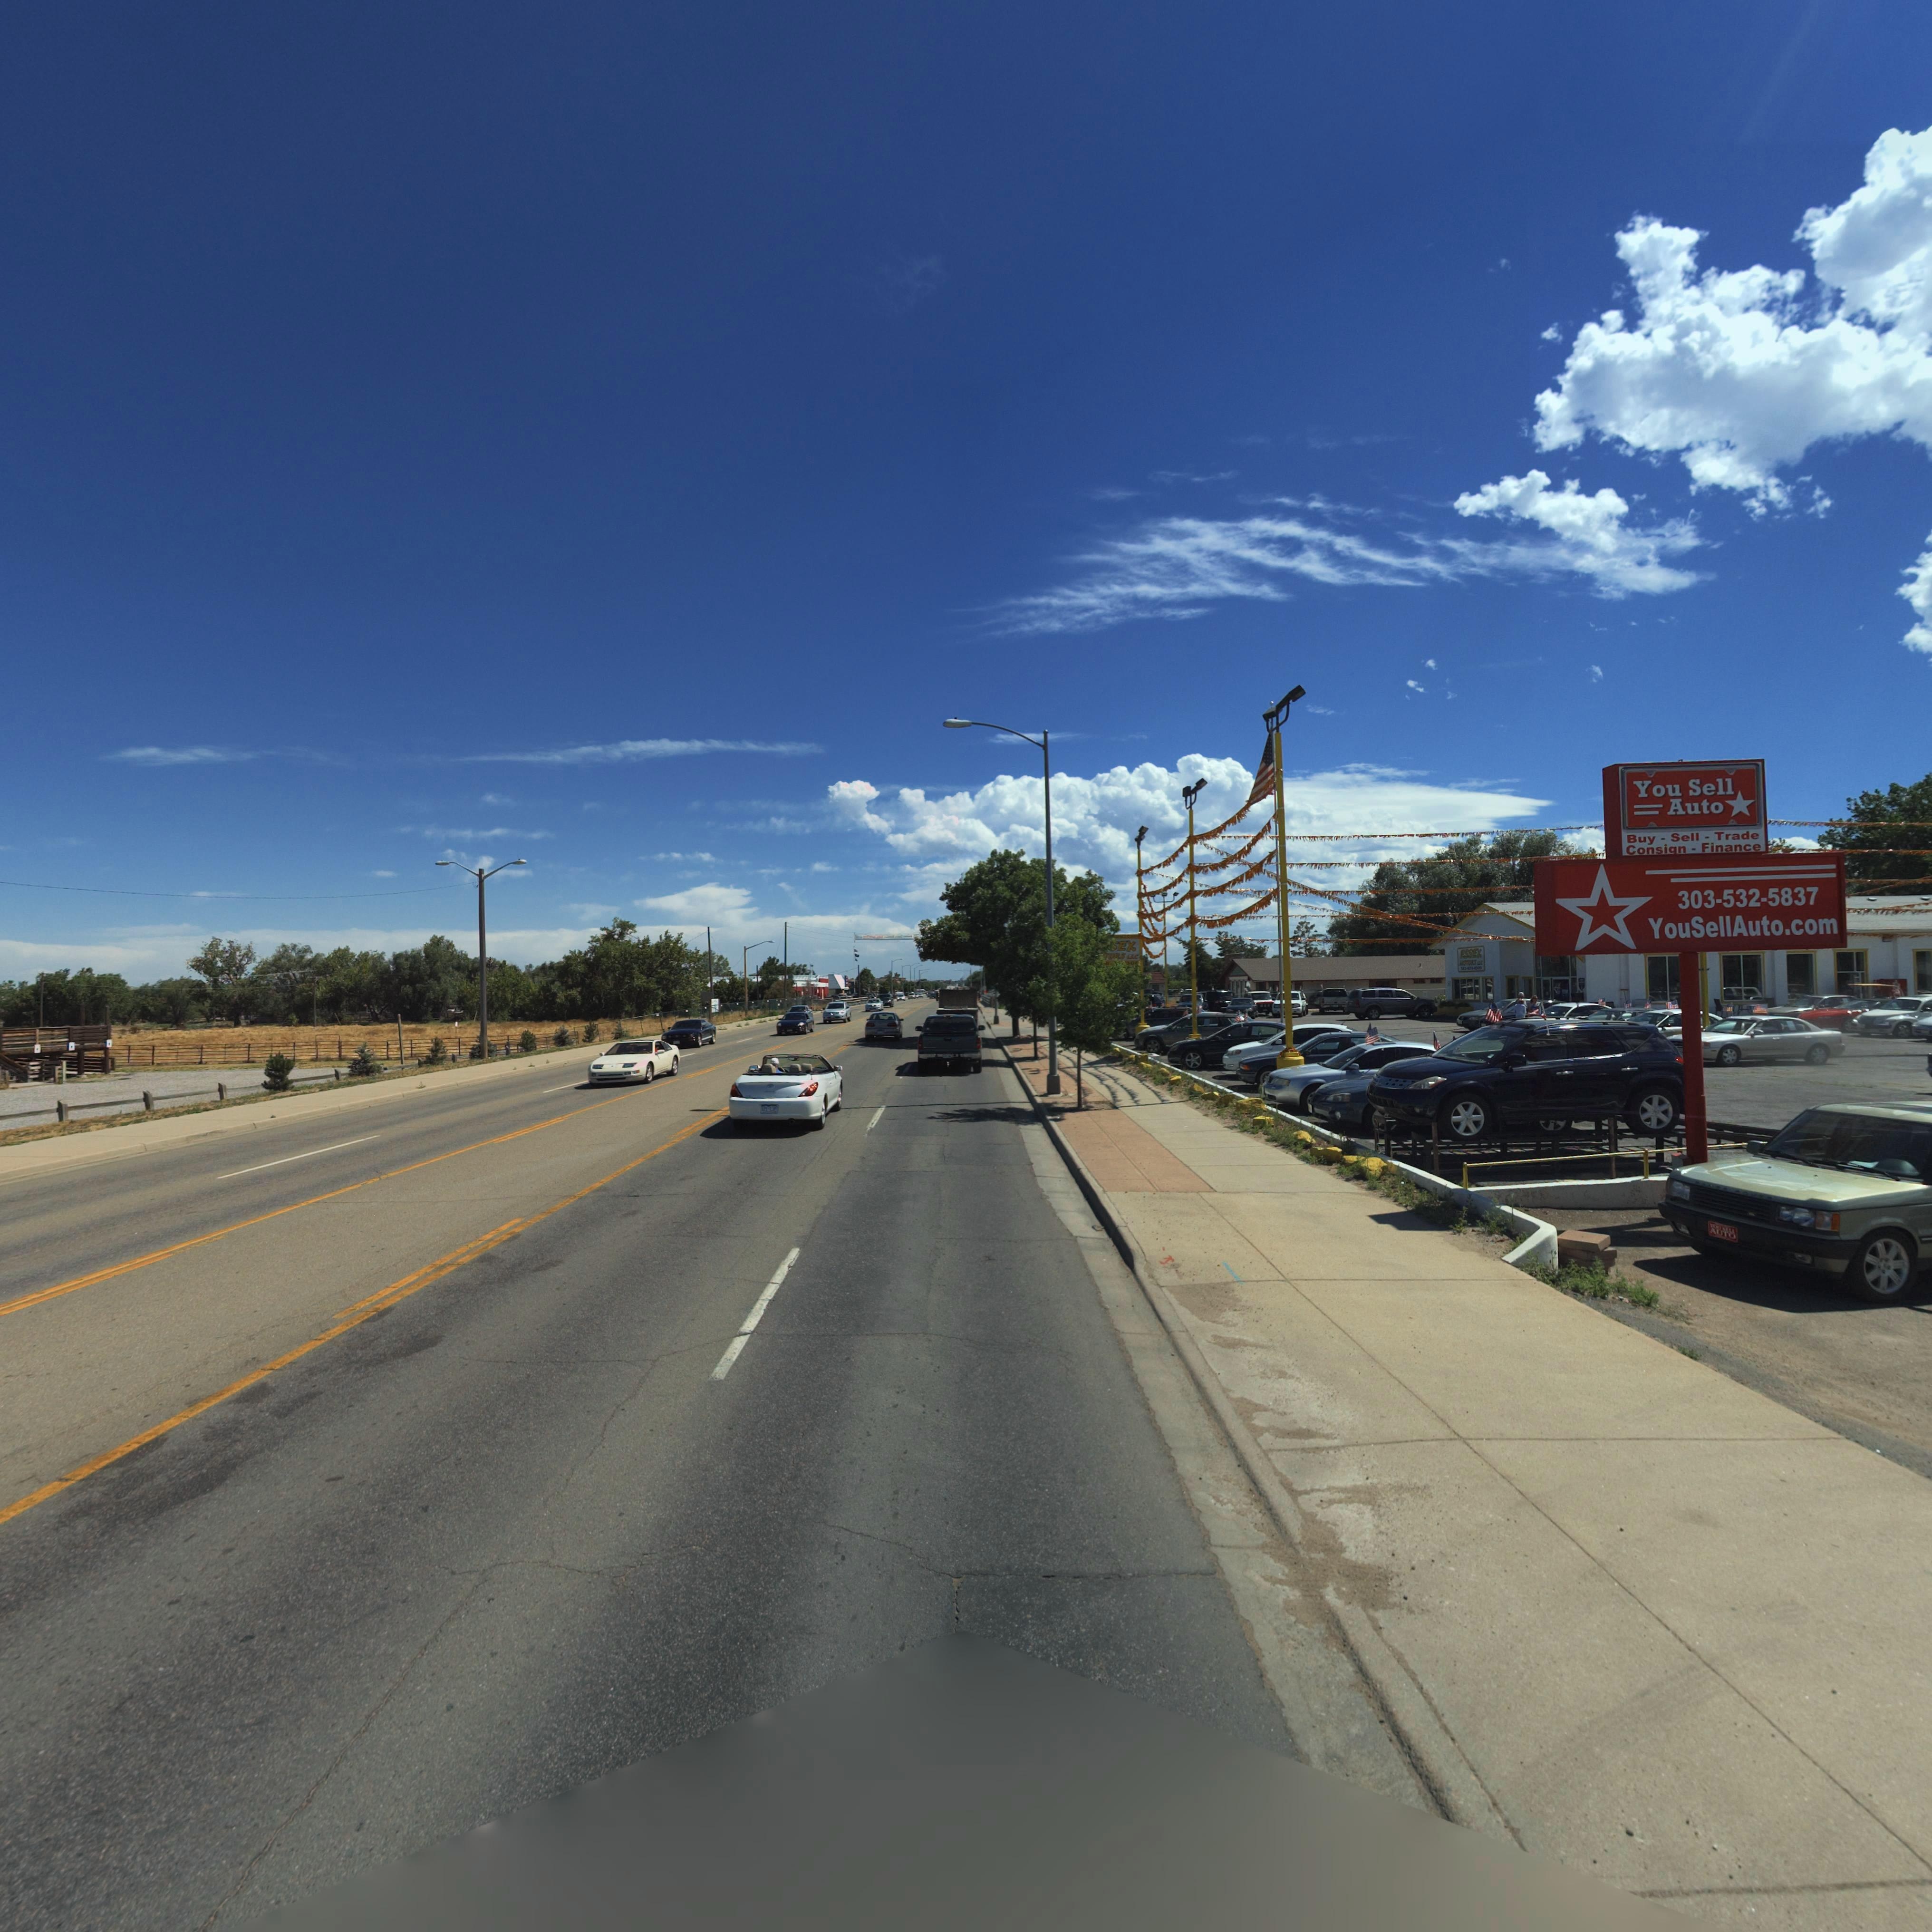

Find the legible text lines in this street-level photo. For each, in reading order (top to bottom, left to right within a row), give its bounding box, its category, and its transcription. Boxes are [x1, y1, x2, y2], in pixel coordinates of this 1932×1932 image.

[1632, 777, 1735, 798] BusinessName: You Sell
[1667, 798, 1723, 815] BusinessName: Auto
[1116, 940, 1136, 952] BusinessName: EX
[1107, 952, 1139, 960] BusinessName: ORS LLC
[1459, 947, 1482, 959] BusinessName: ESSEX
[1459, 959, 1483, 966] BusinessName: MOTORS LLC